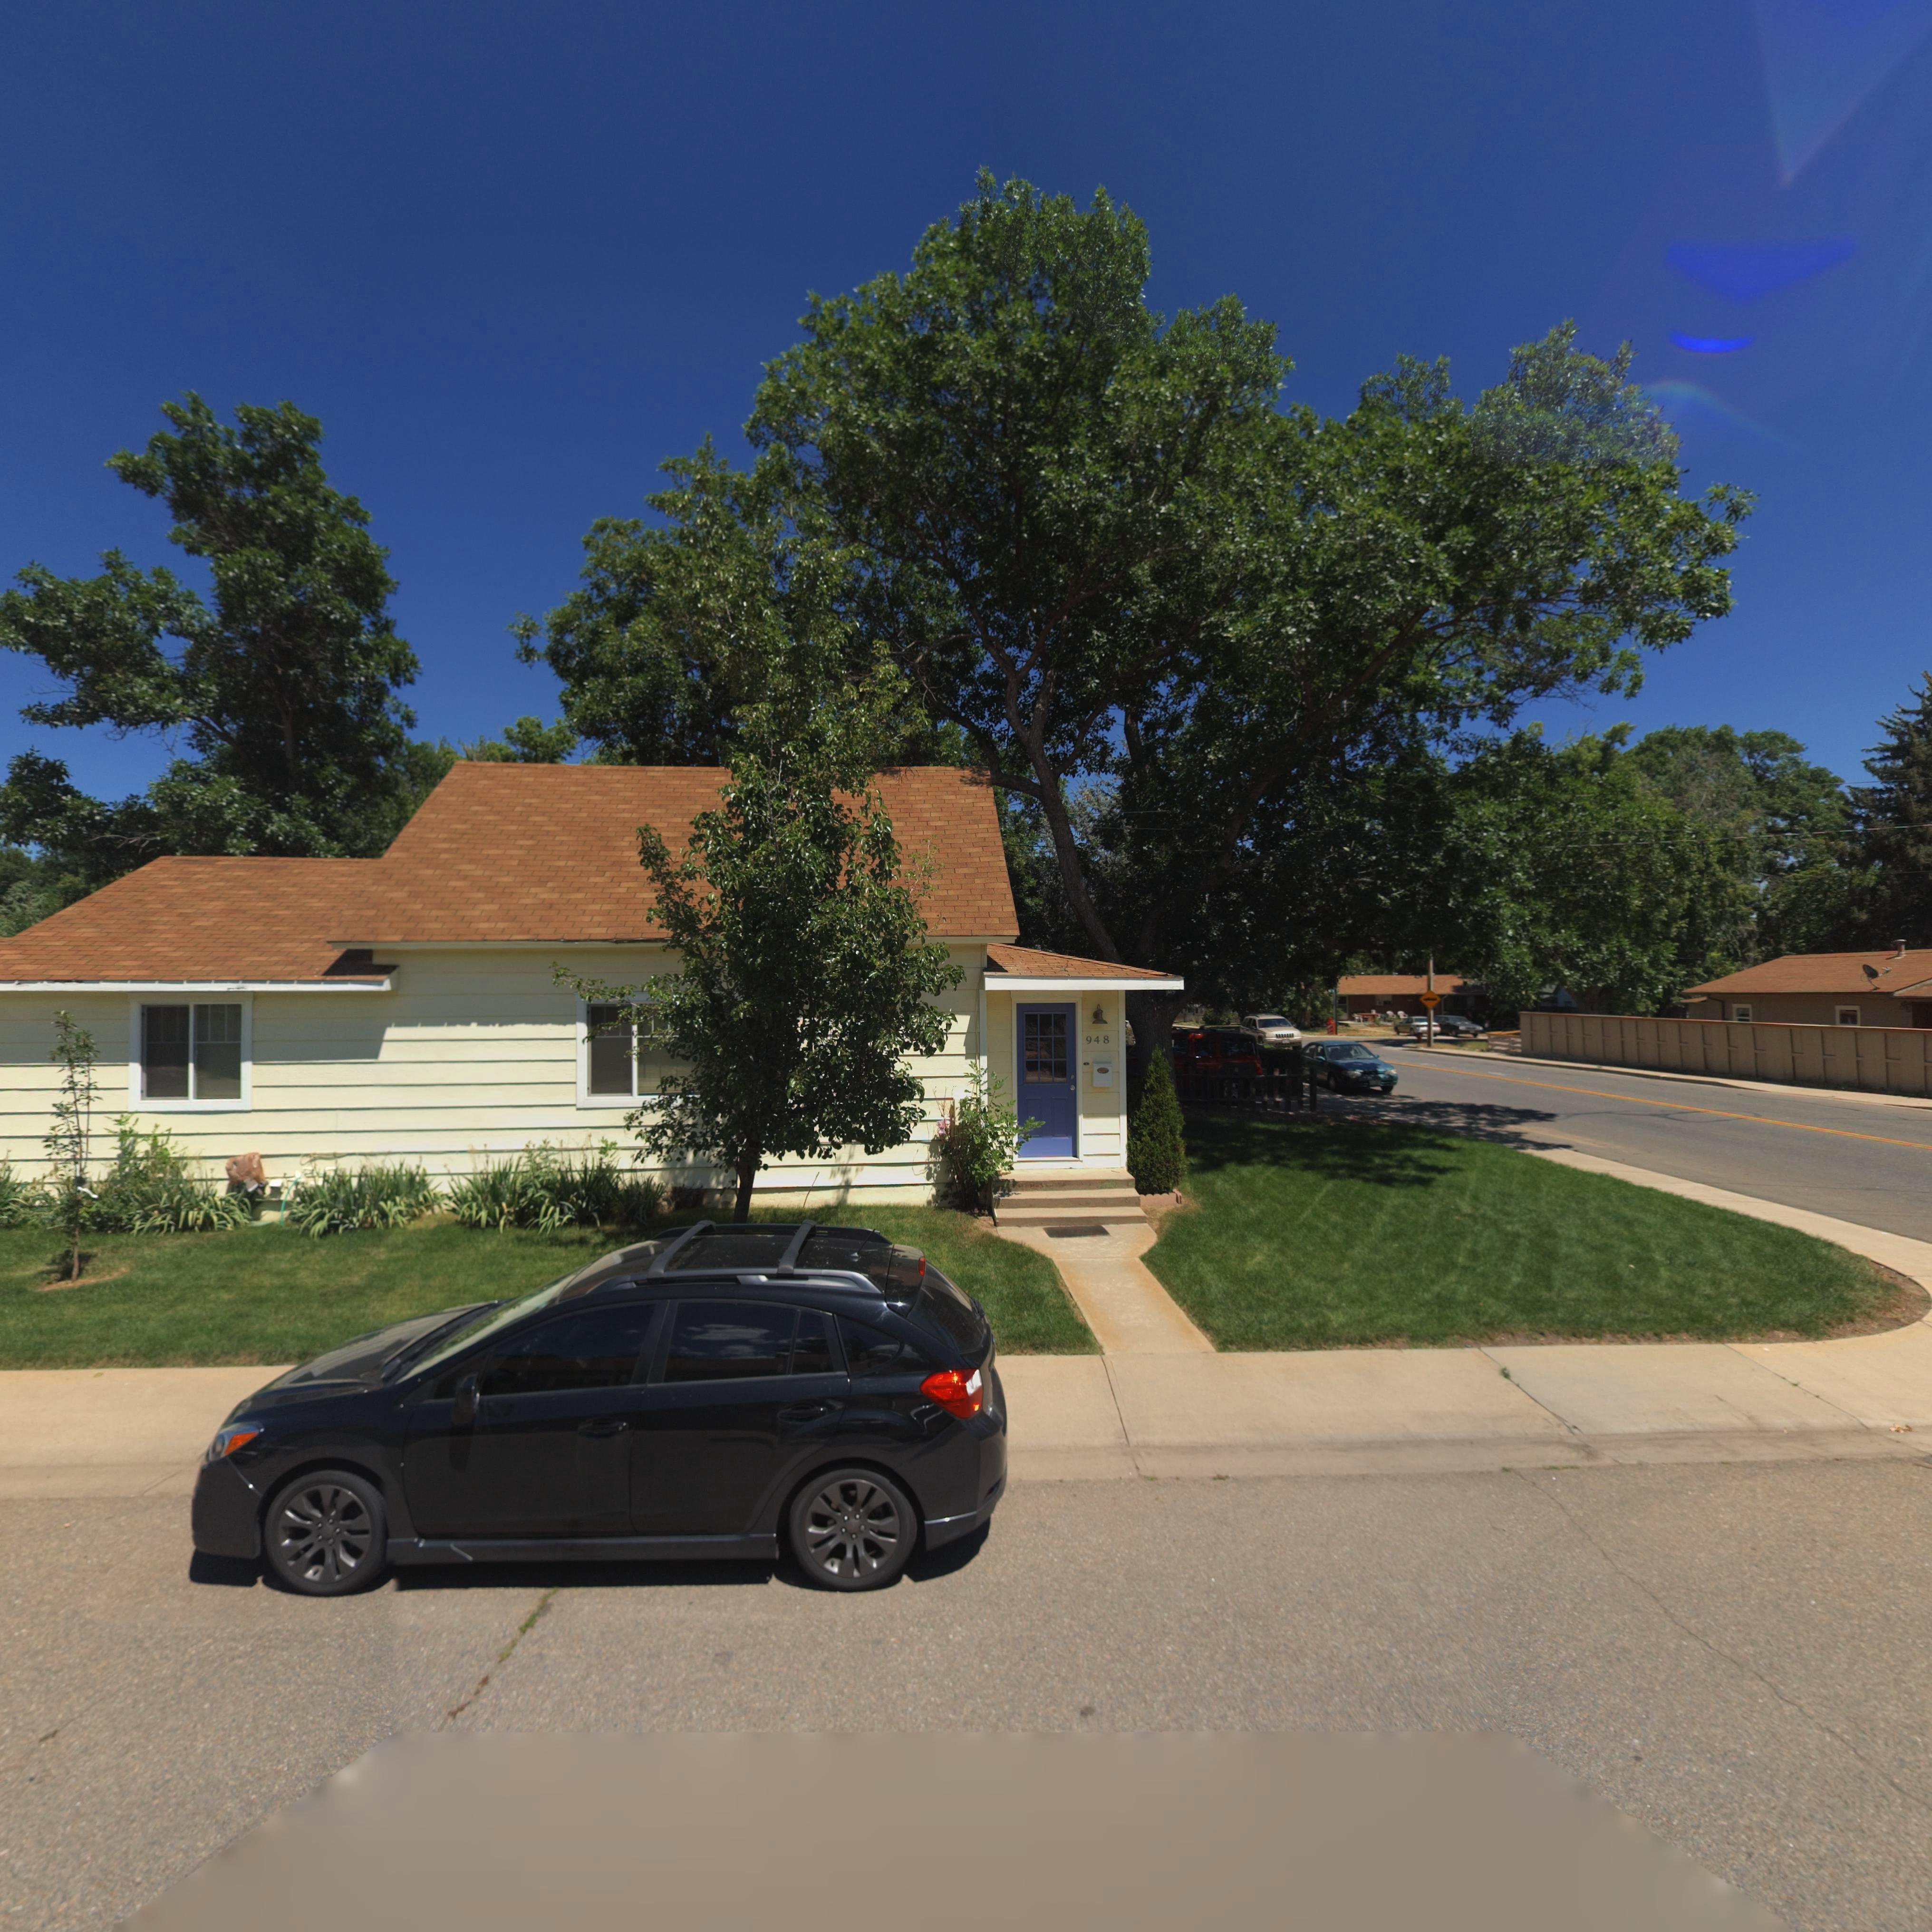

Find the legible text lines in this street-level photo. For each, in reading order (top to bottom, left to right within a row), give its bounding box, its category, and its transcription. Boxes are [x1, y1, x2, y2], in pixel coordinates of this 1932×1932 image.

[1086, 1035, 1110, 1044] StreetNumber: 948